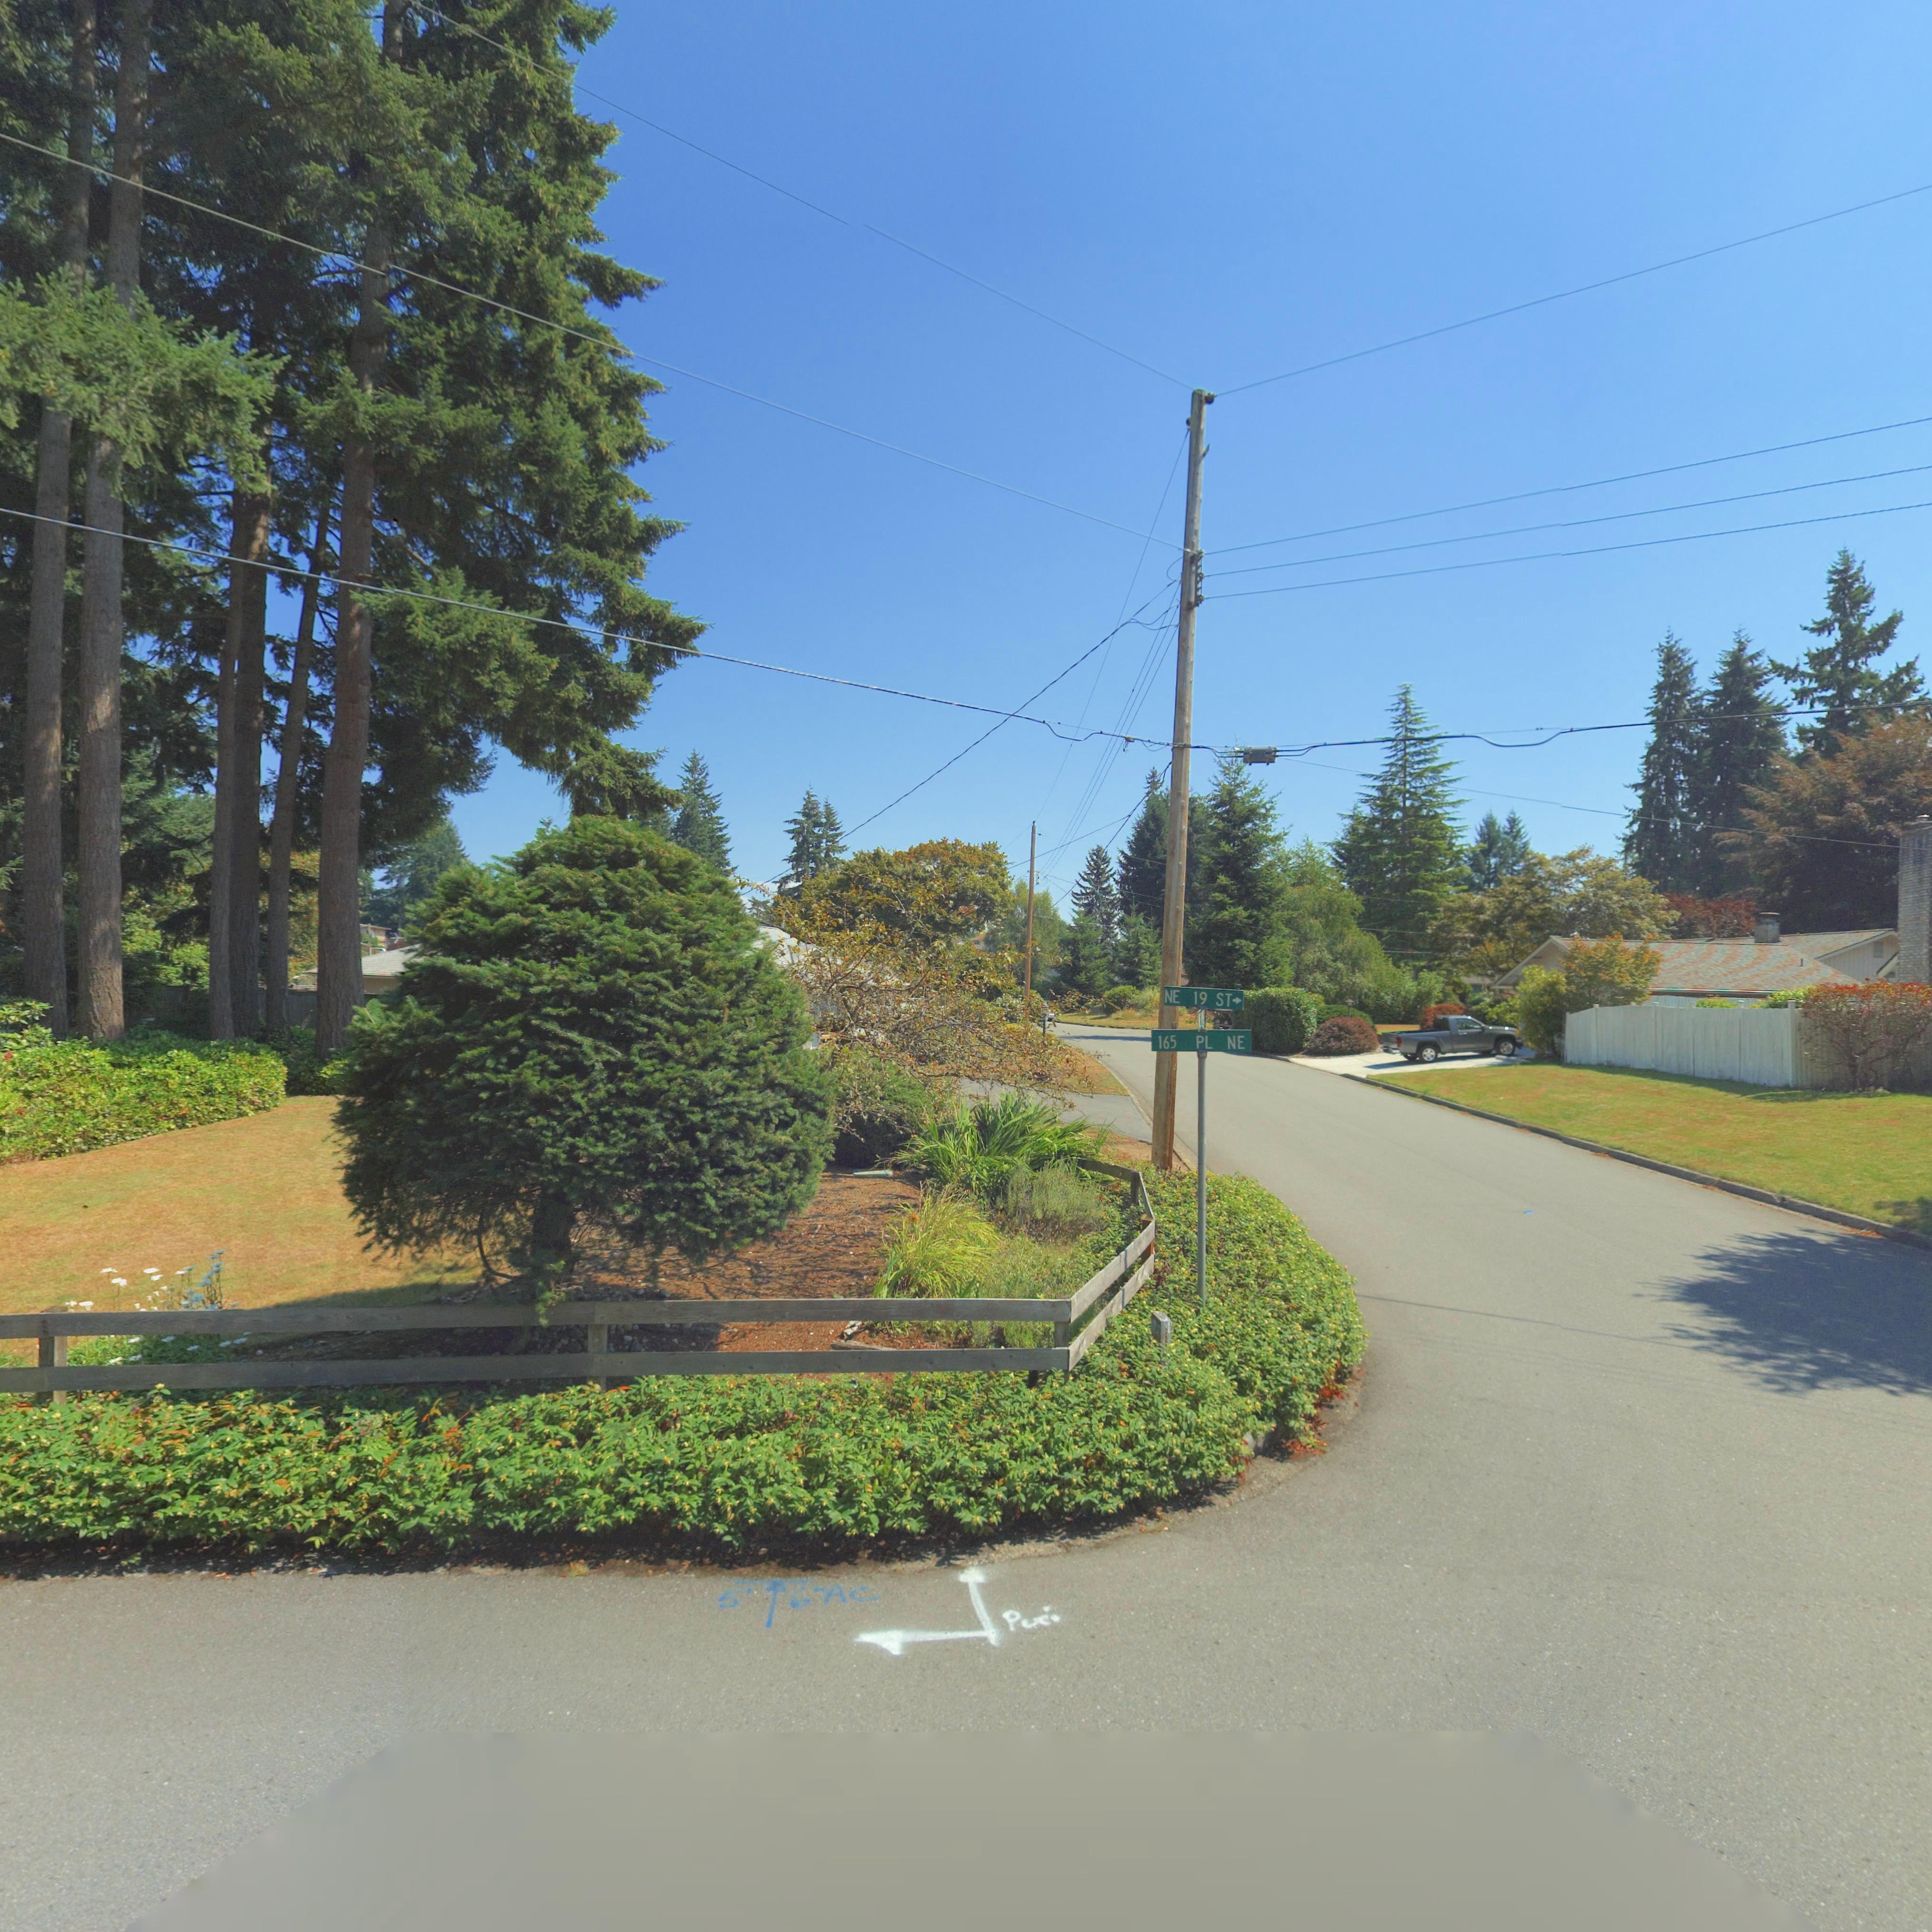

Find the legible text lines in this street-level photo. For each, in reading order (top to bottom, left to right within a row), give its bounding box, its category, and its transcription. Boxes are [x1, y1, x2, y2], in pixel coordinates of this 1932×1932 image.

[1165, 989, 1232, 1006] StreetName: NE 19 ST
[1157, 1034, 1246, 1051] StreetName: 165 PL NE